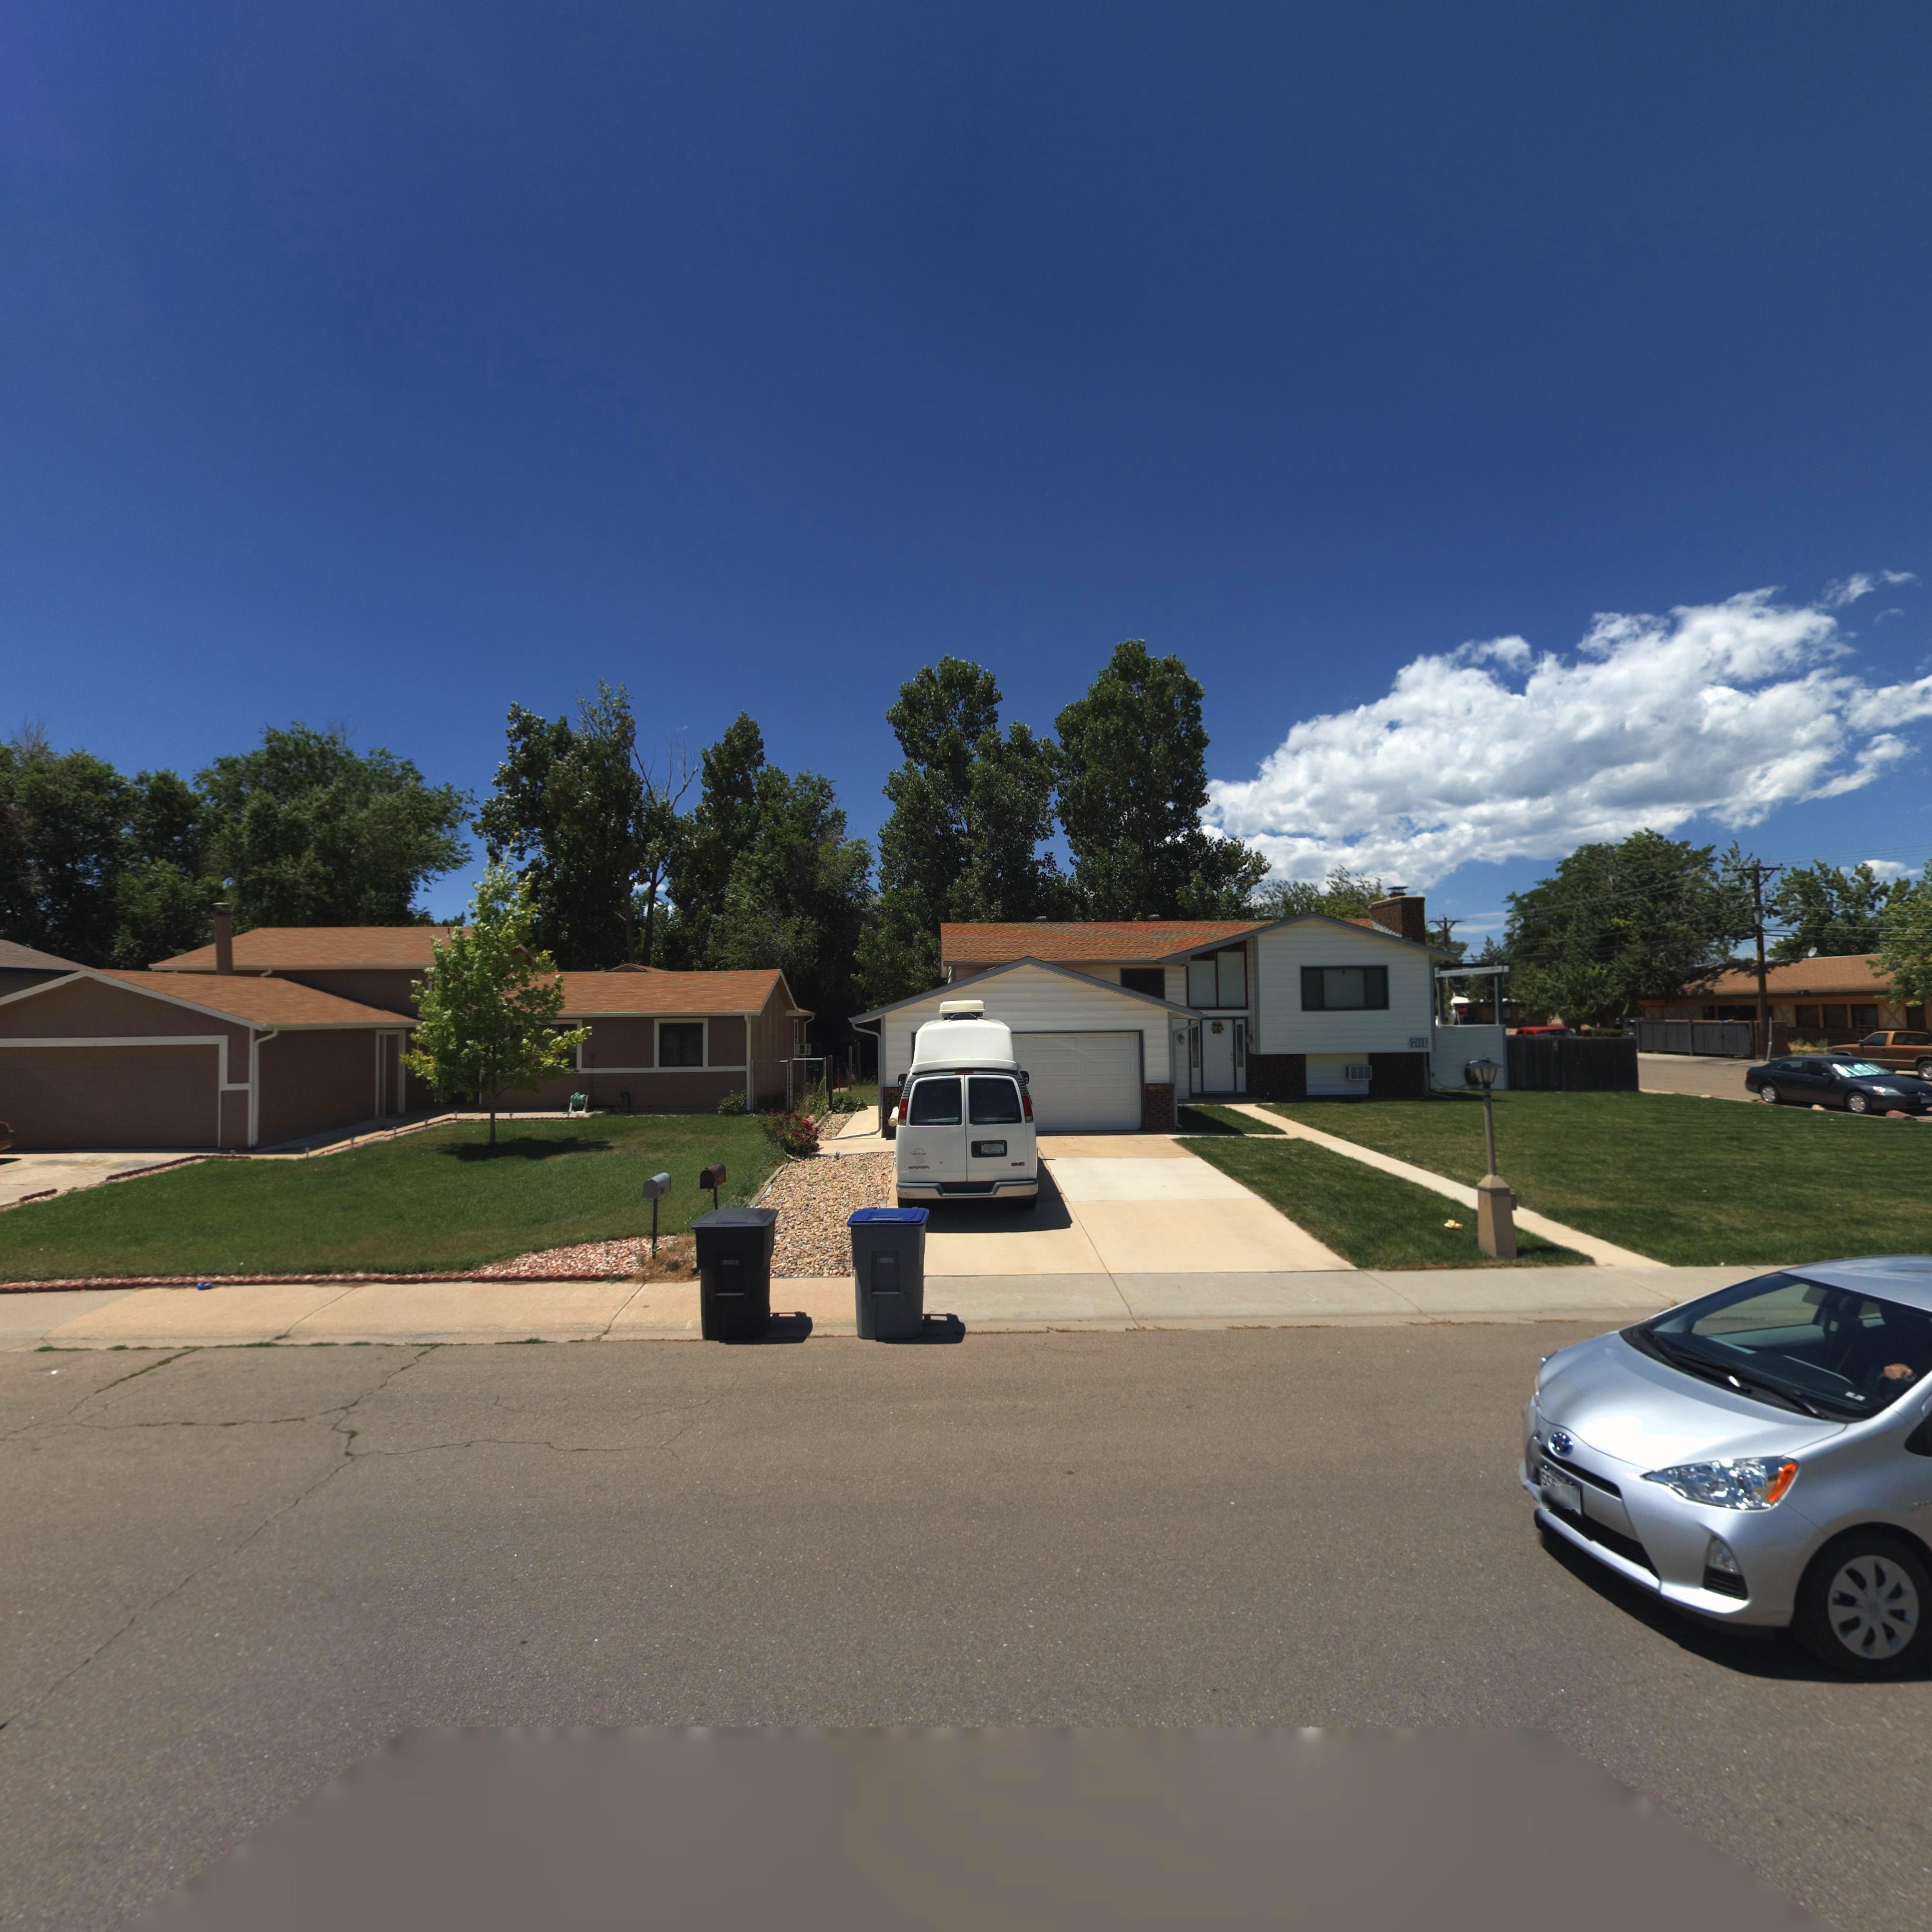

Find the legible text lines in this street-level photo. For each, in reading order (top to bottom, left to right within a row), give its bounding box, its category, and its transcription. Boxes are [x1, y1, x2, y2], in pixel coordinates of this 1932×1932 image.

[1410, 1038, 1427, 1047] StreetNumber: 701